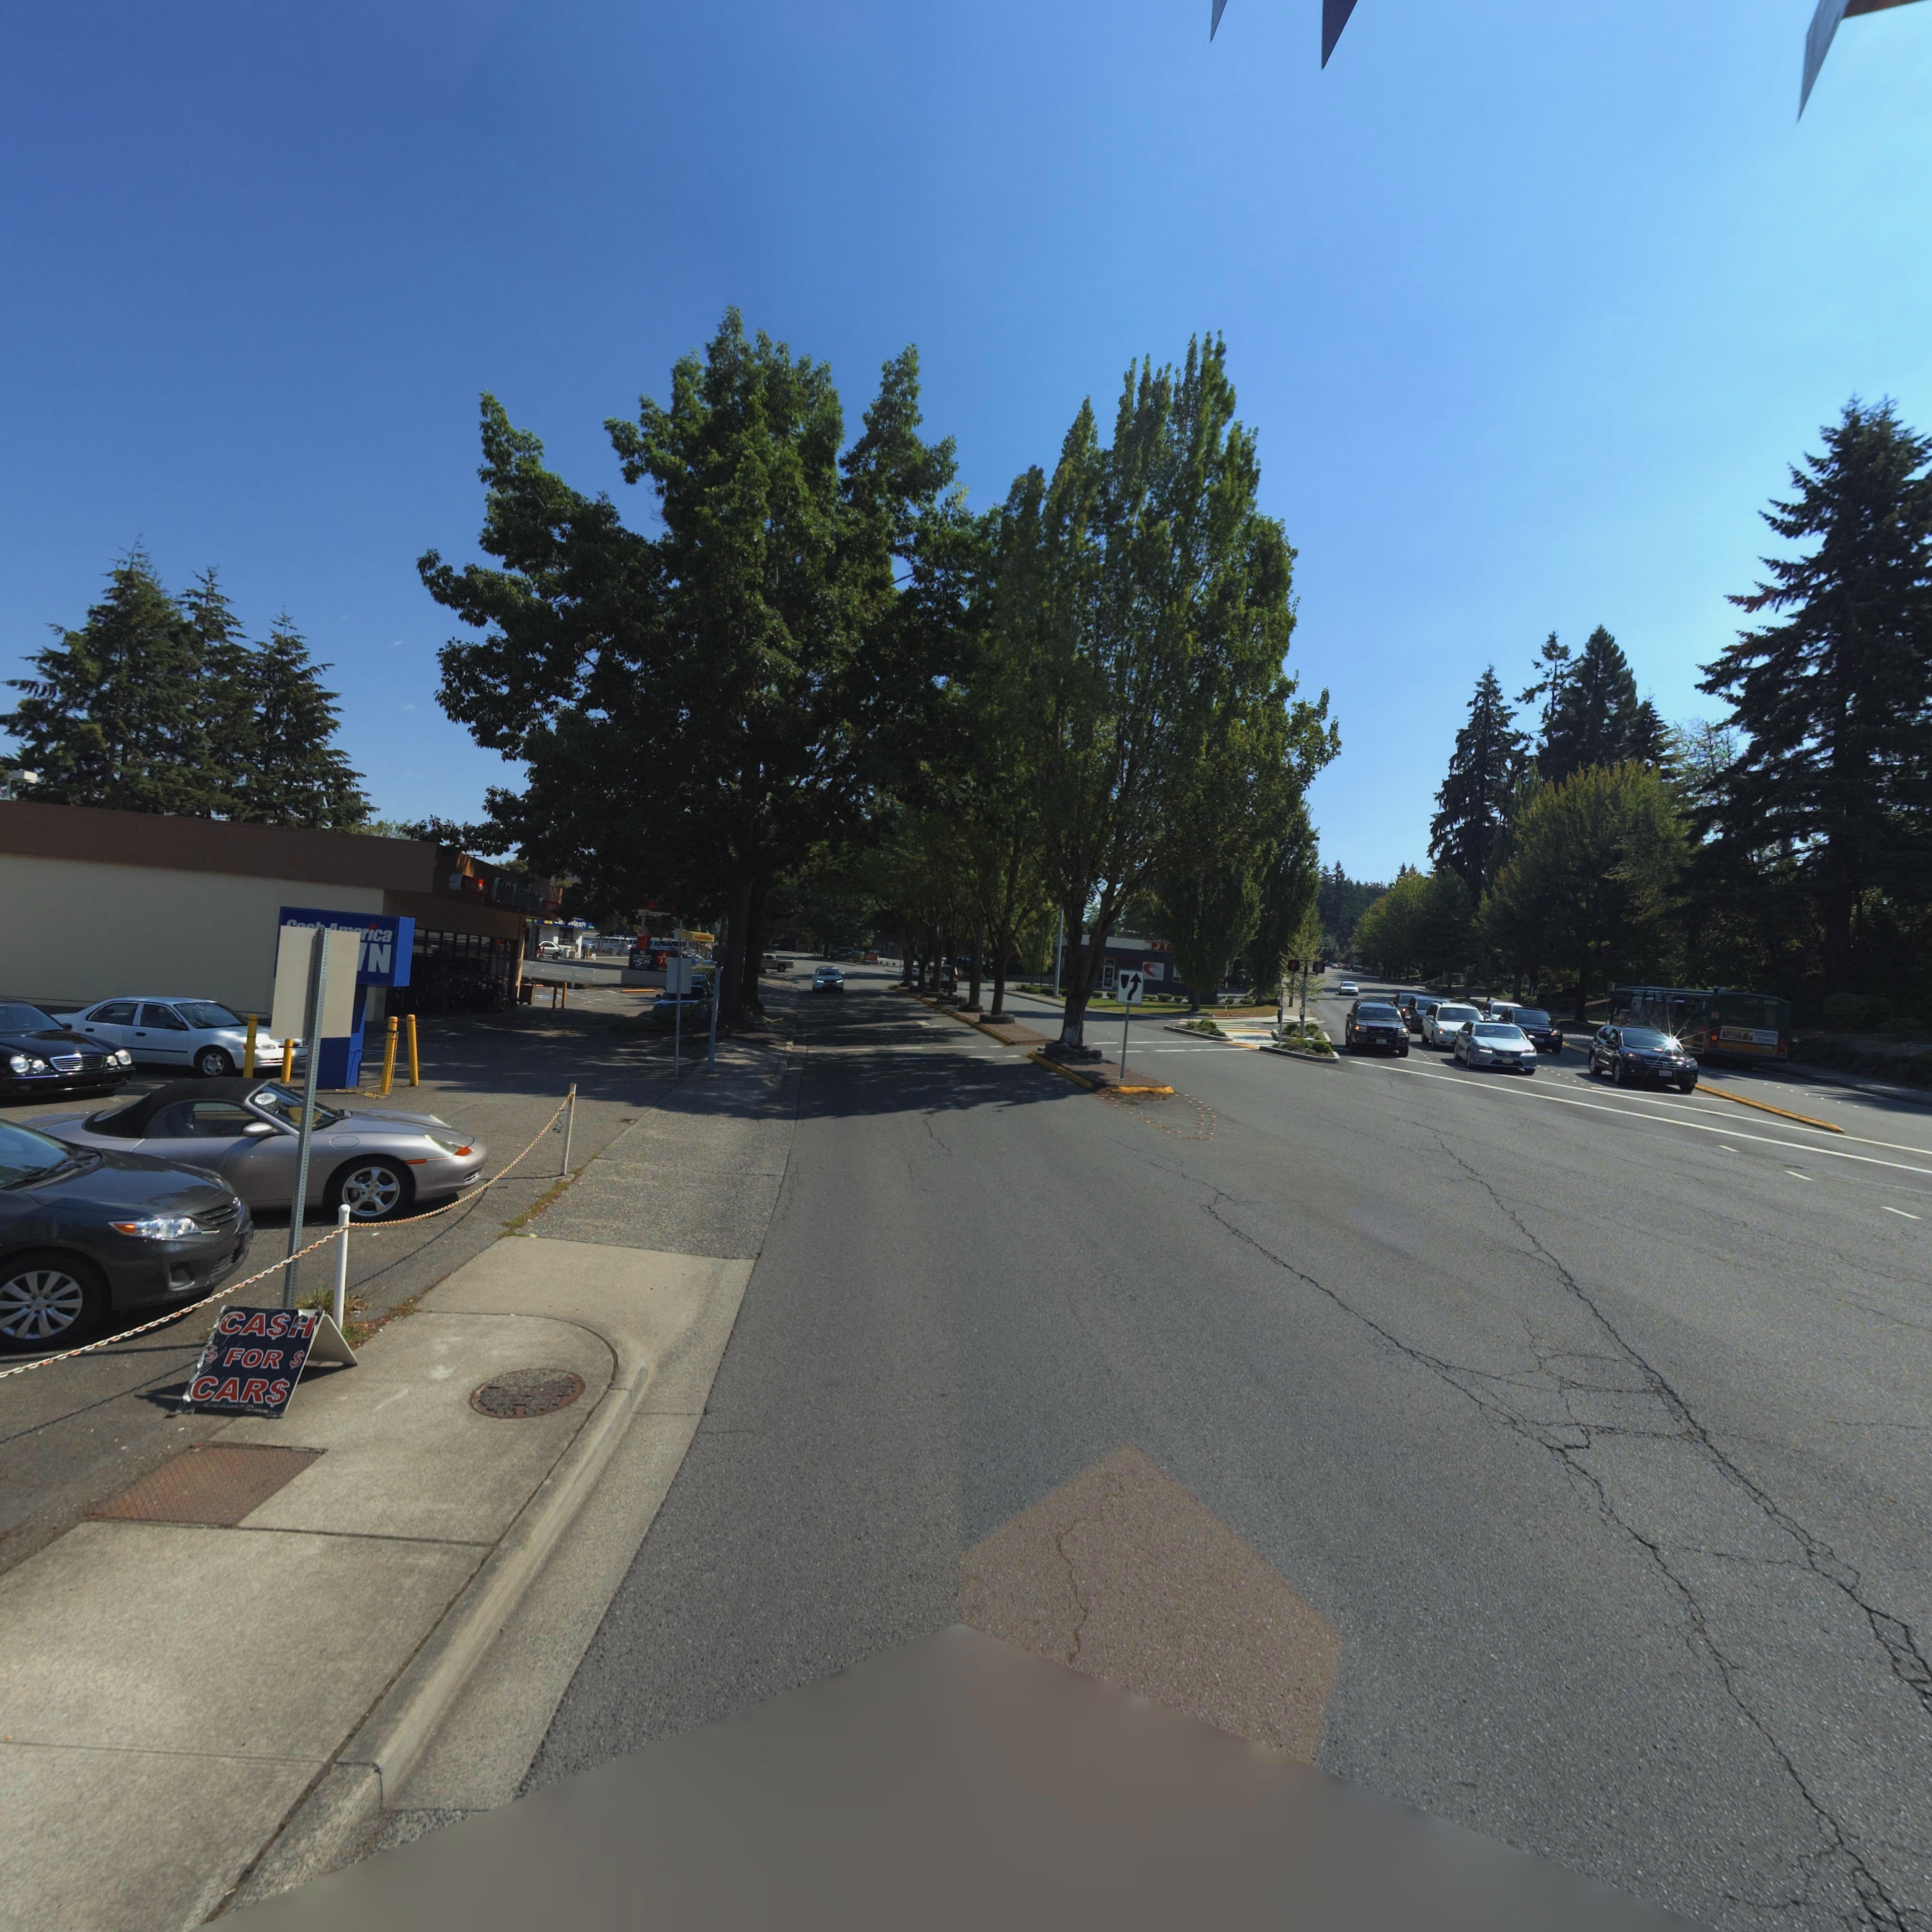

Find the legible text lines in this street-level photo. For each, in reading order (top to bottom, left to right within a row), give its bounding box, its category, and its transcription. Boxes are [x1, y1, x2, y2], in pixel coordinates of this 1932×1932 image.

[574, 921, 586, 927] BusinessName: ash
[360, 927, 393, 943] BusinessName: r*ca
[368, 944, 391, 973] BusinessName: N